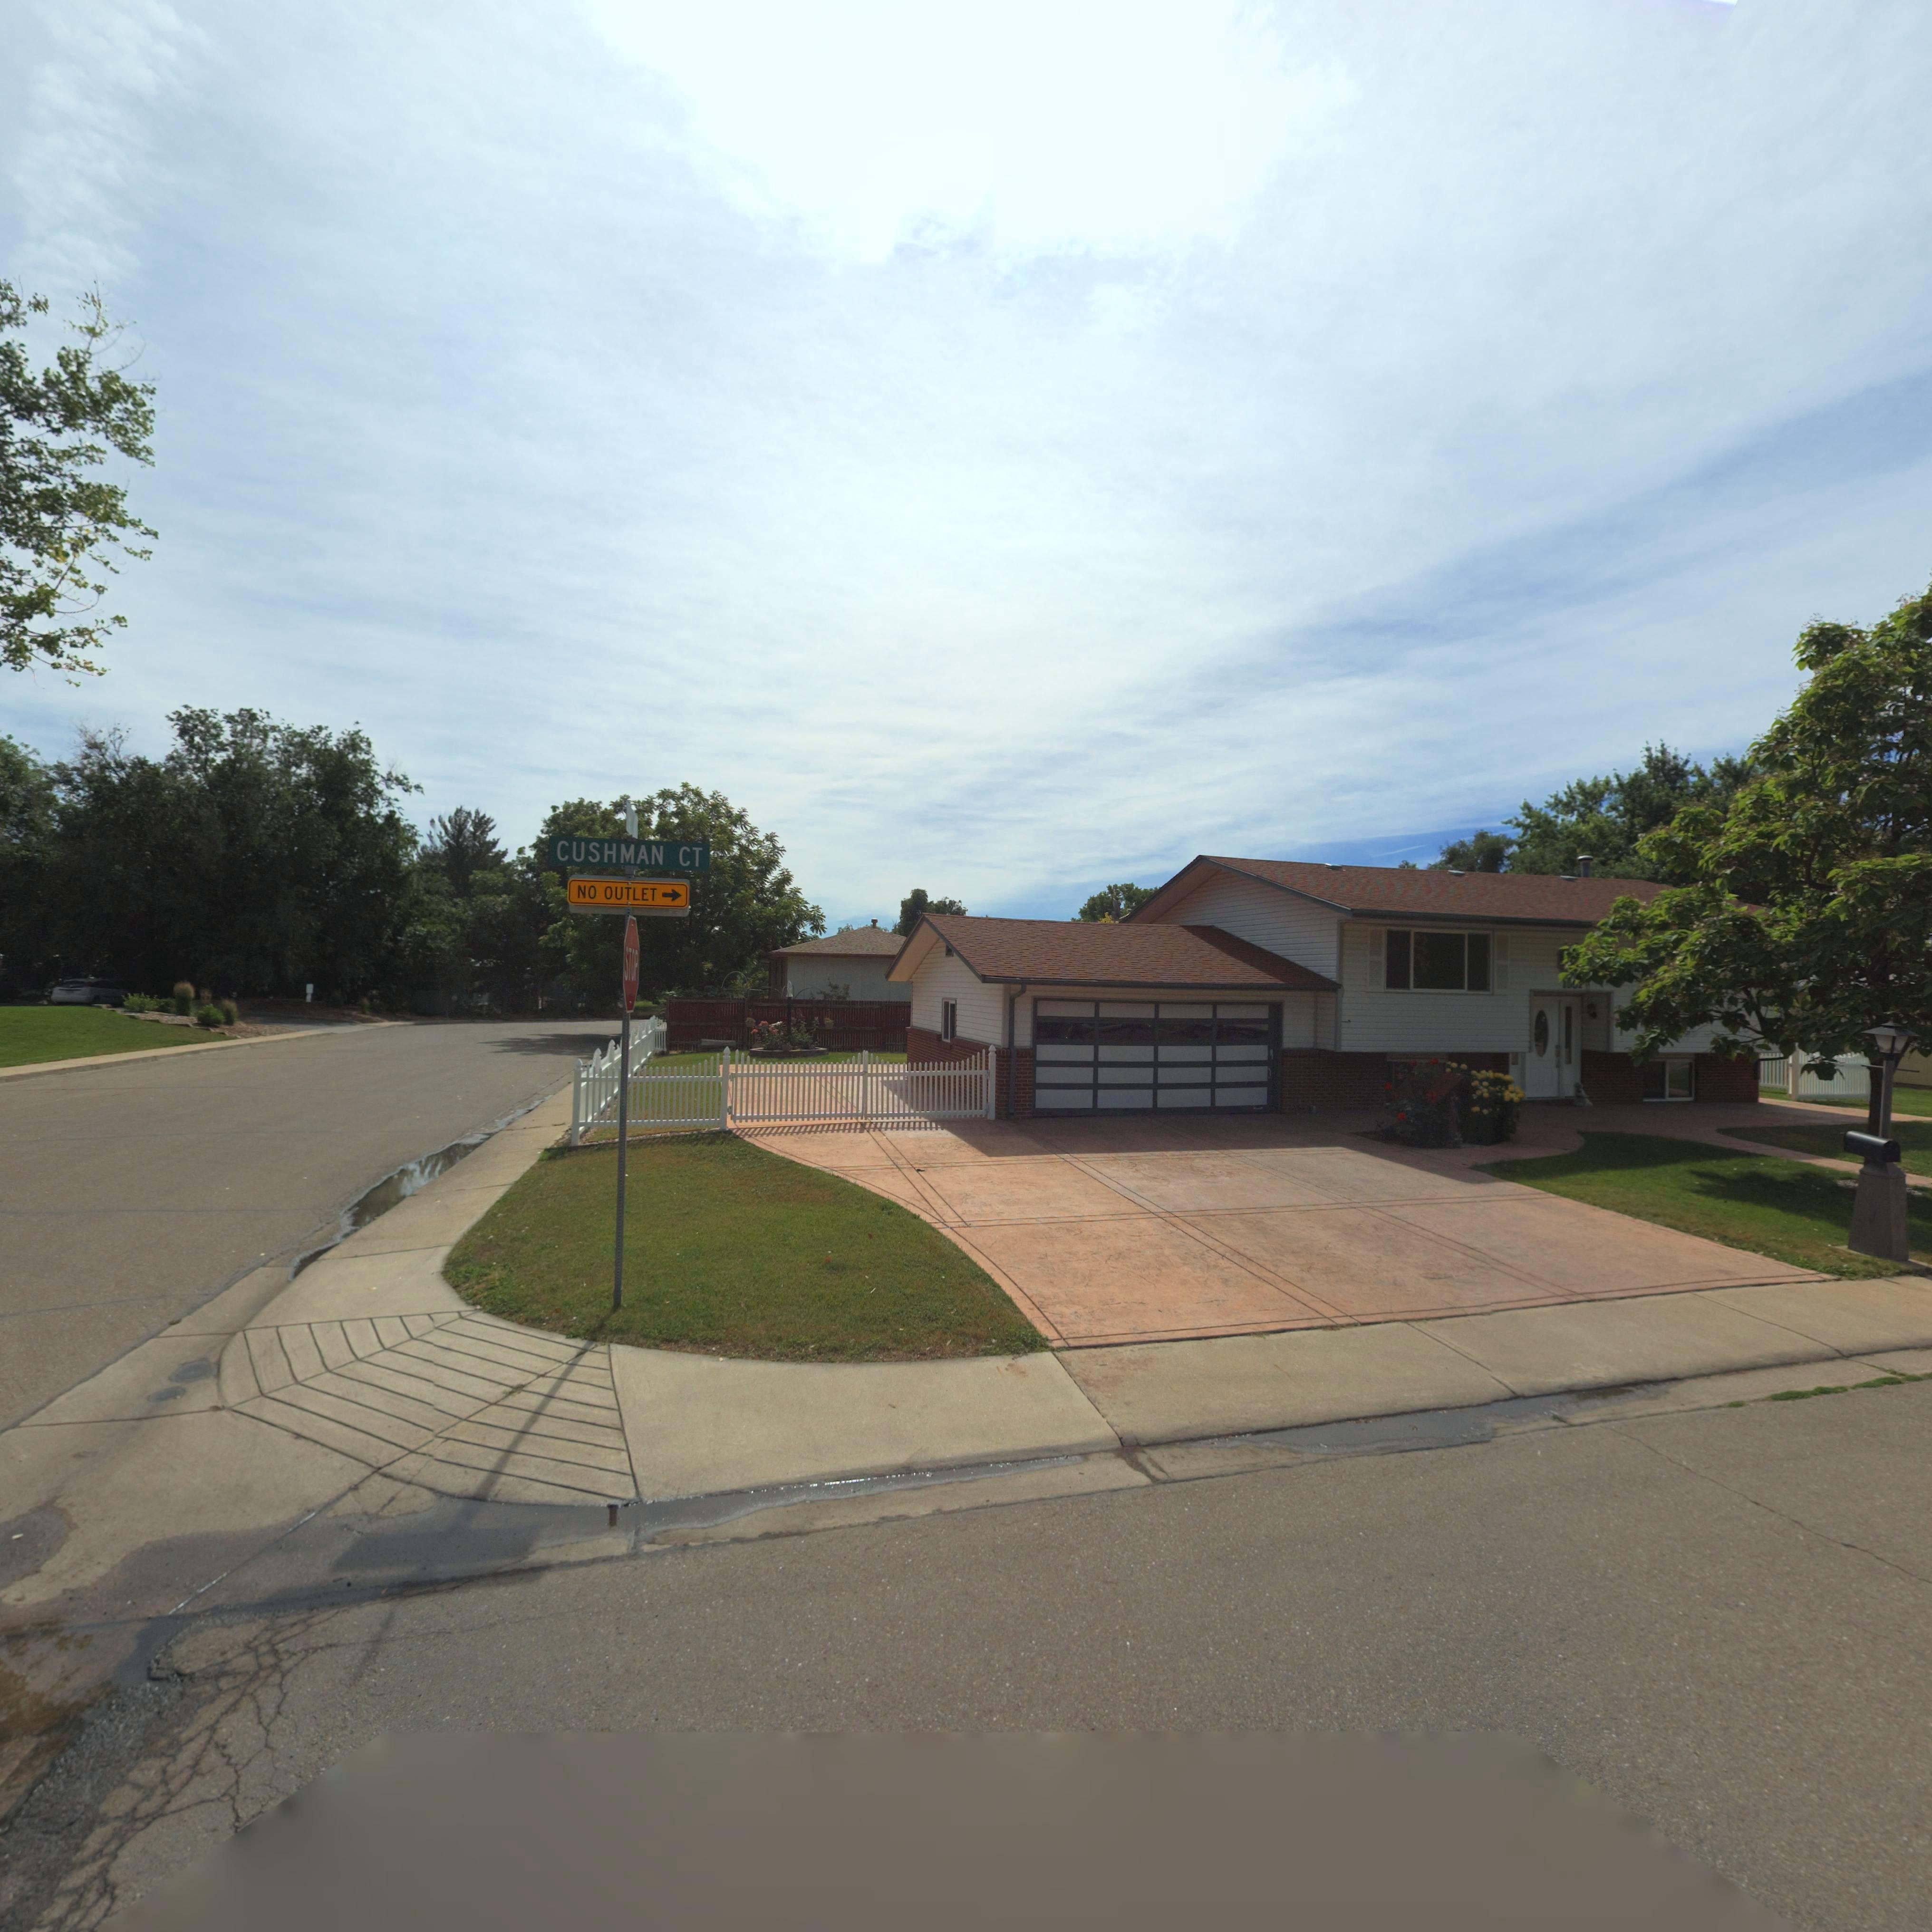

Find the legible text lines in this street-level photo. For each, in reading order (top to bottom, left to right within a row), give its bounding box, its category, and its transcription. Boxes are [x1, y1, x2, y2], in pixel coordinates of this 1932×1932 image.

[556, 840, 703, 866] StreetName: CUSHMAN CT
[1562, 979, 1584, 989] StreetNumber: 1***